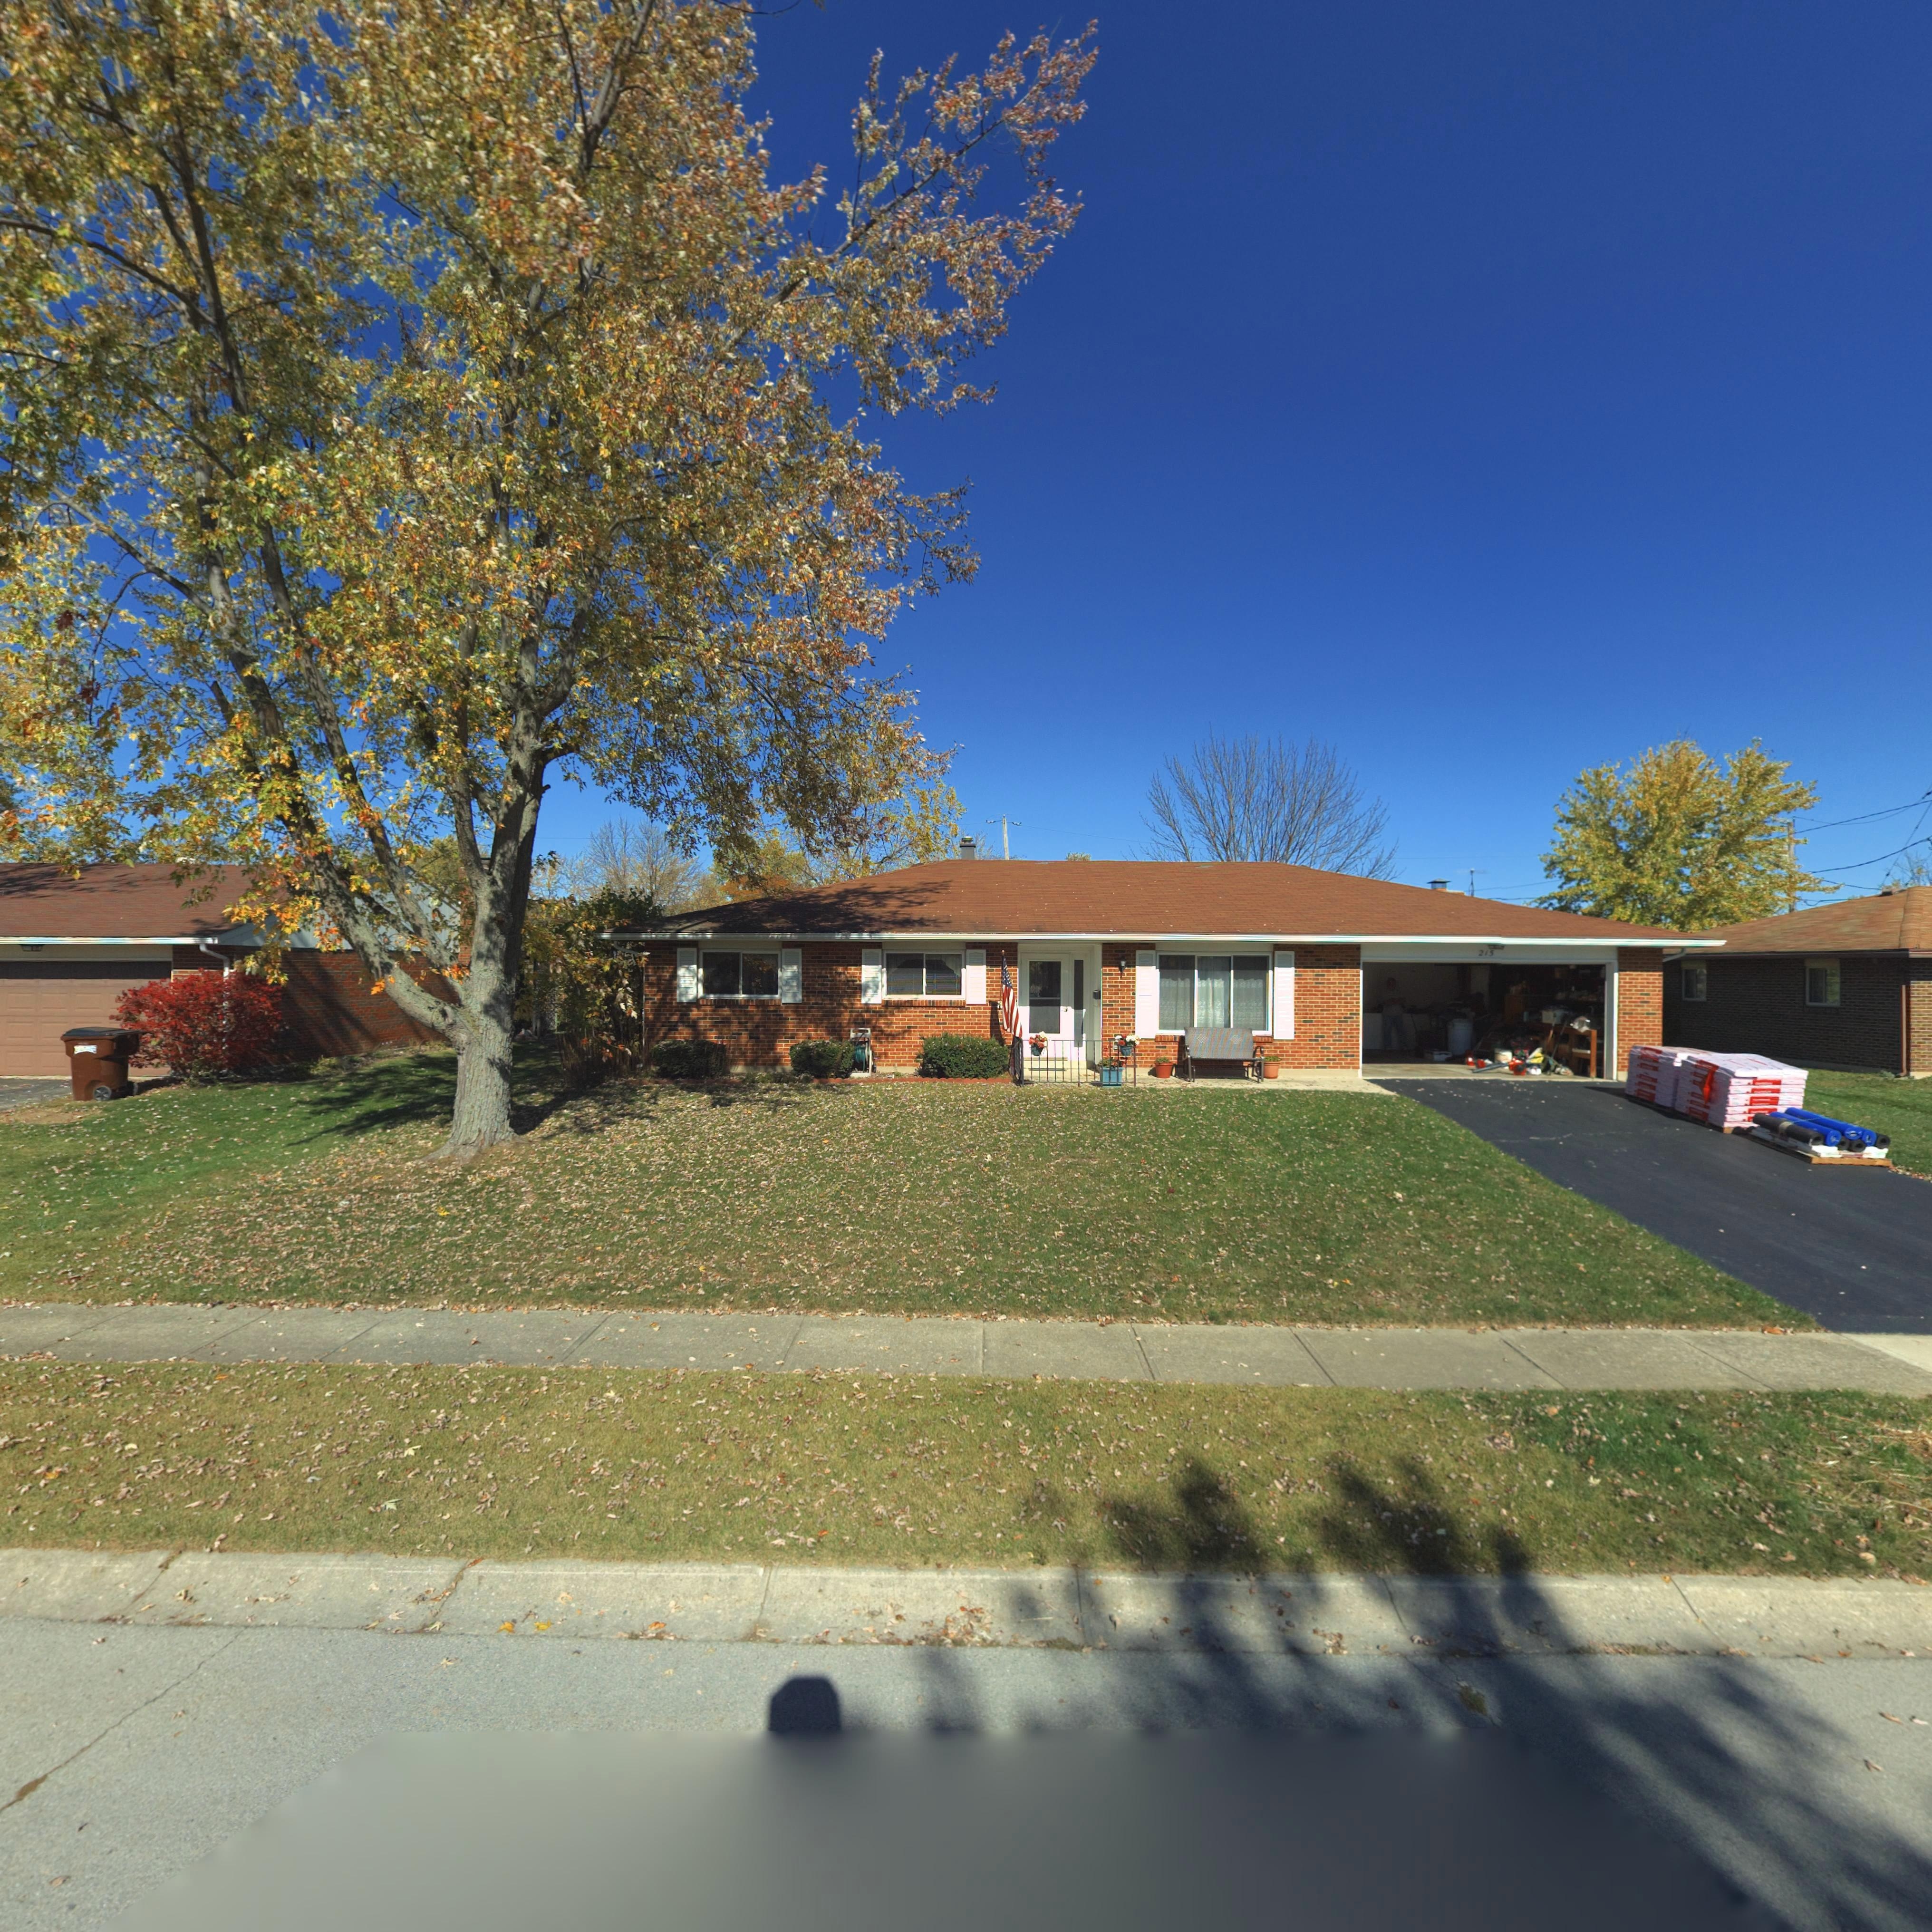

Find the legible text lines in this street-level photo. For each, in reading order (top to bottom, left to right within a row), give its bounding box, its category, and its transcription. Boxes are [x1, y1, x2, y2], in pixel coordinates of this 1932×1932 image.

[1478, 949, 1494, 956] StreetNumber: 215